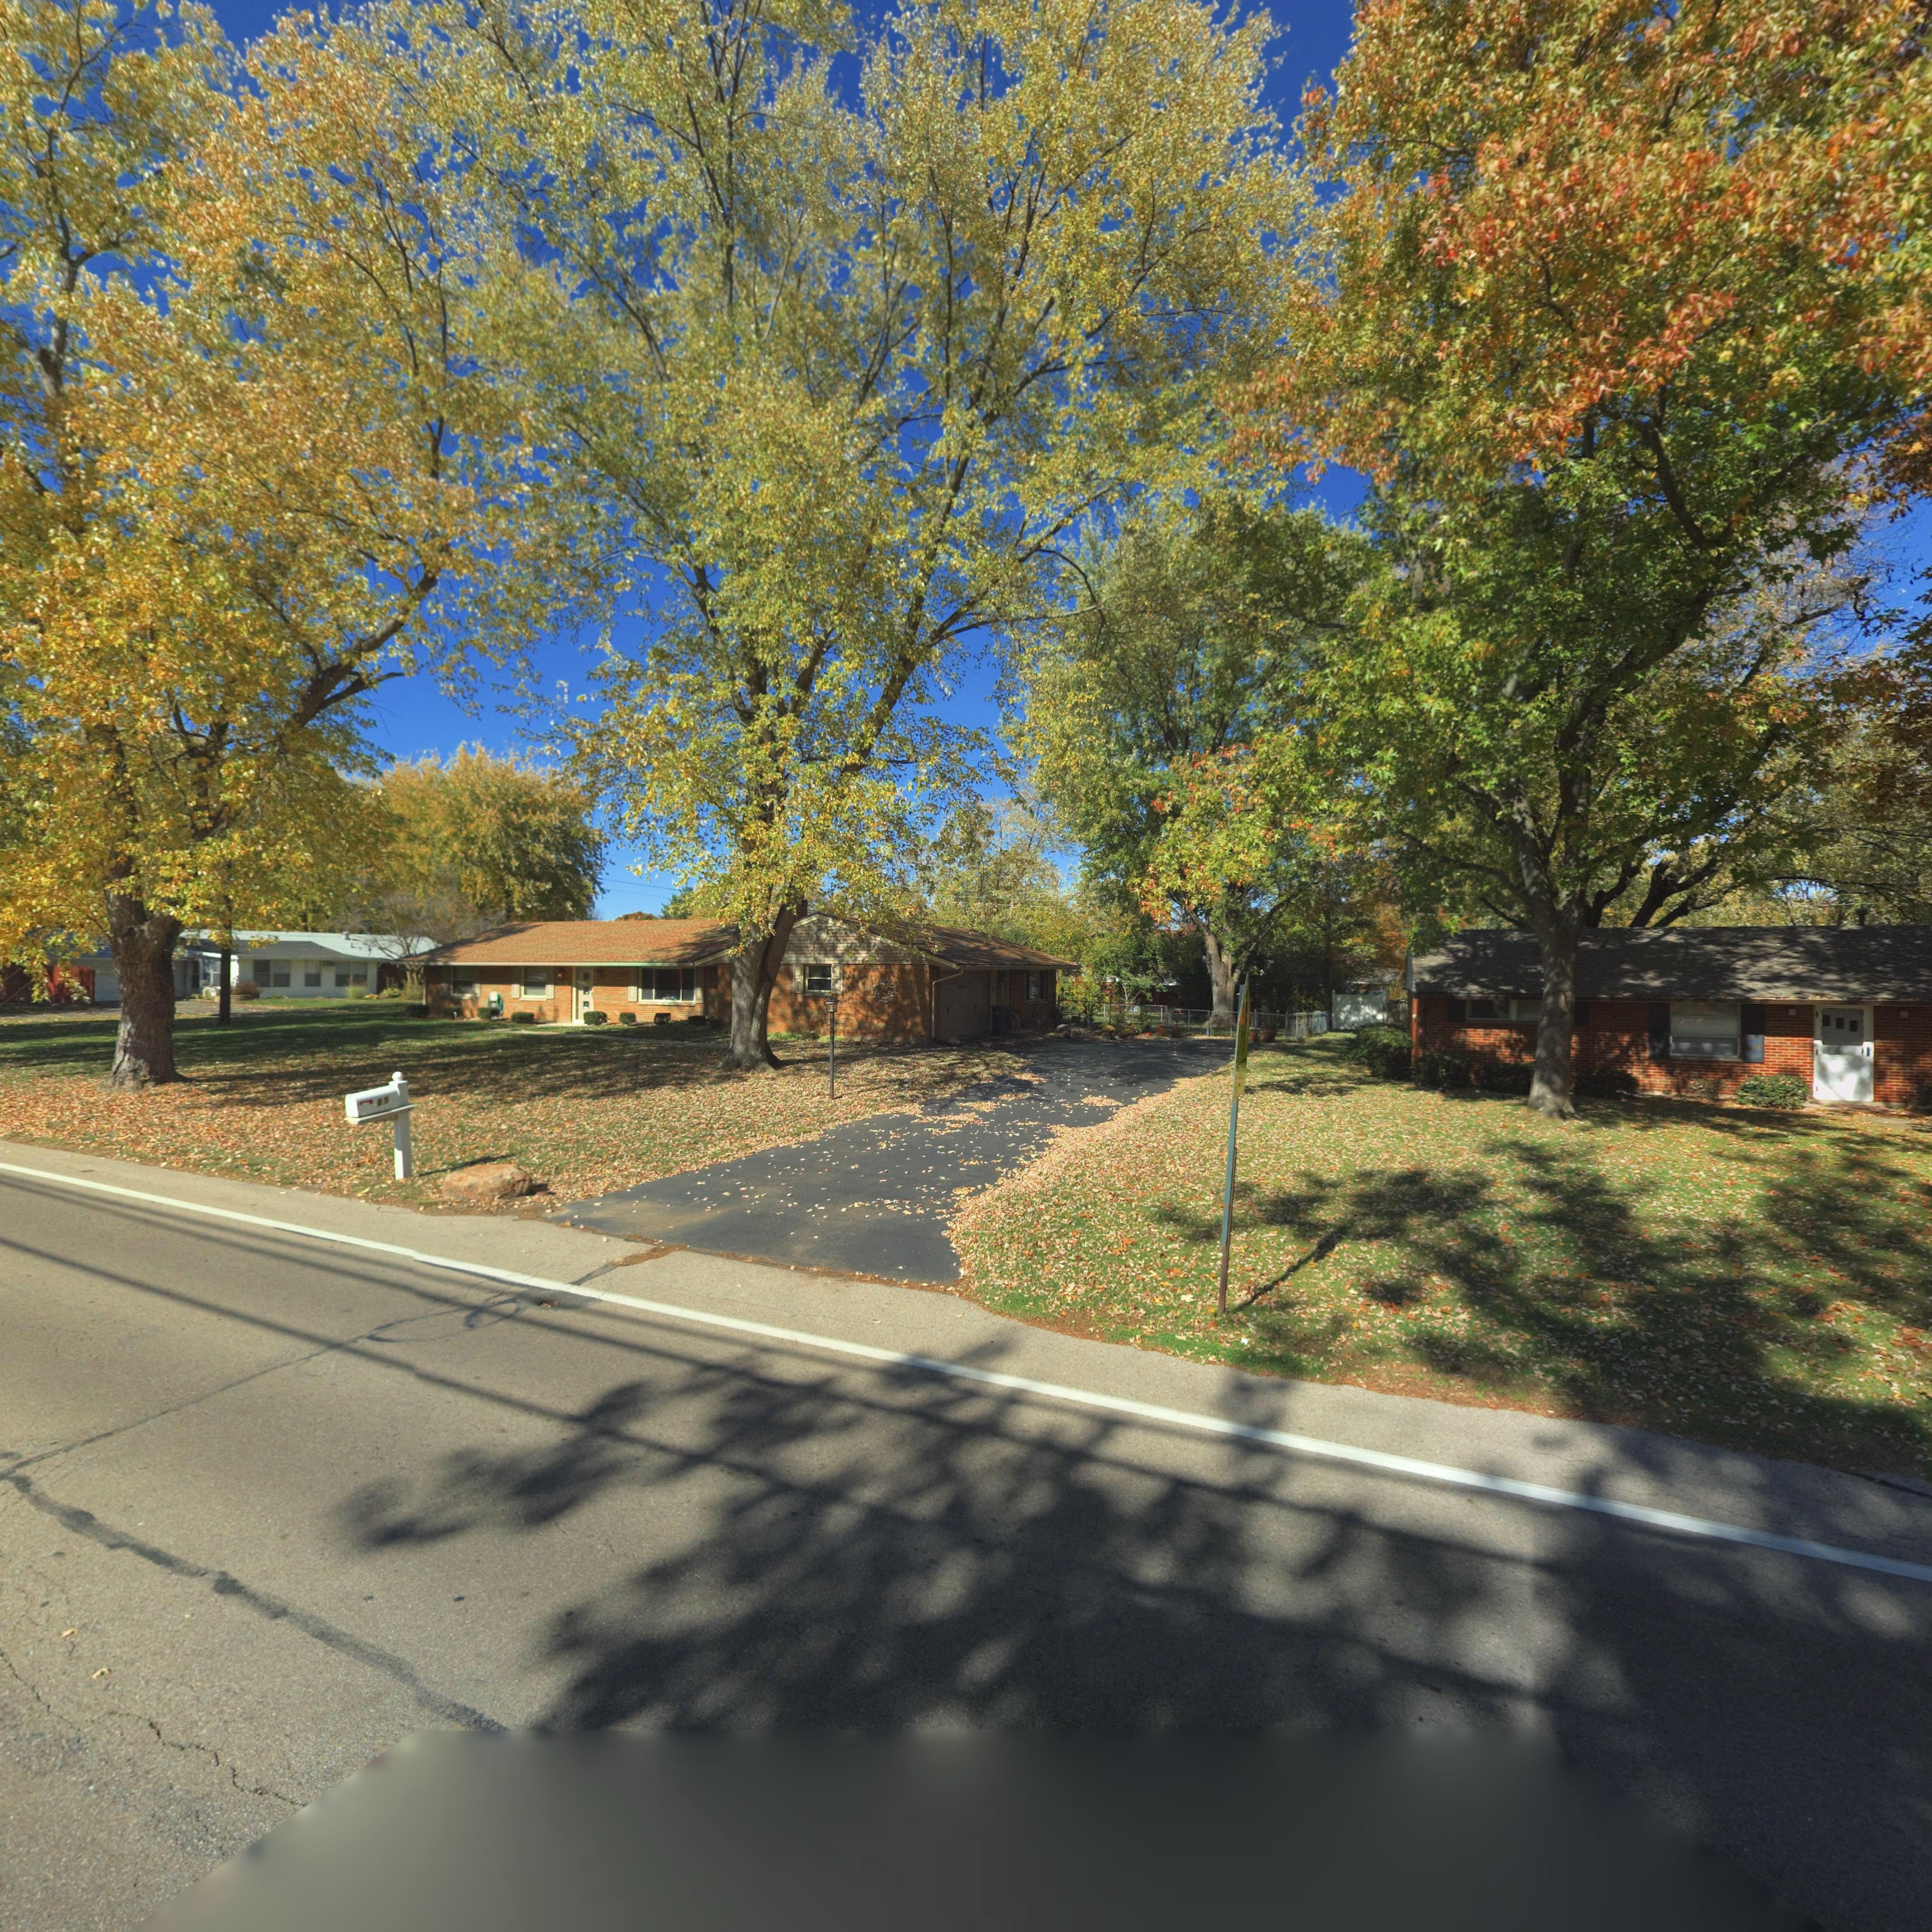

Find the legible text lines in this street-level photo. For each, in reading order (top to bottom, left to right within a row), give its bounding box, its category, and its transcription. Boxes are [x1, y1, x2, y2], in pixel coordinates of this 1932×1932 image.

[377, 1095, 389, 1107] StreetNumber: 85